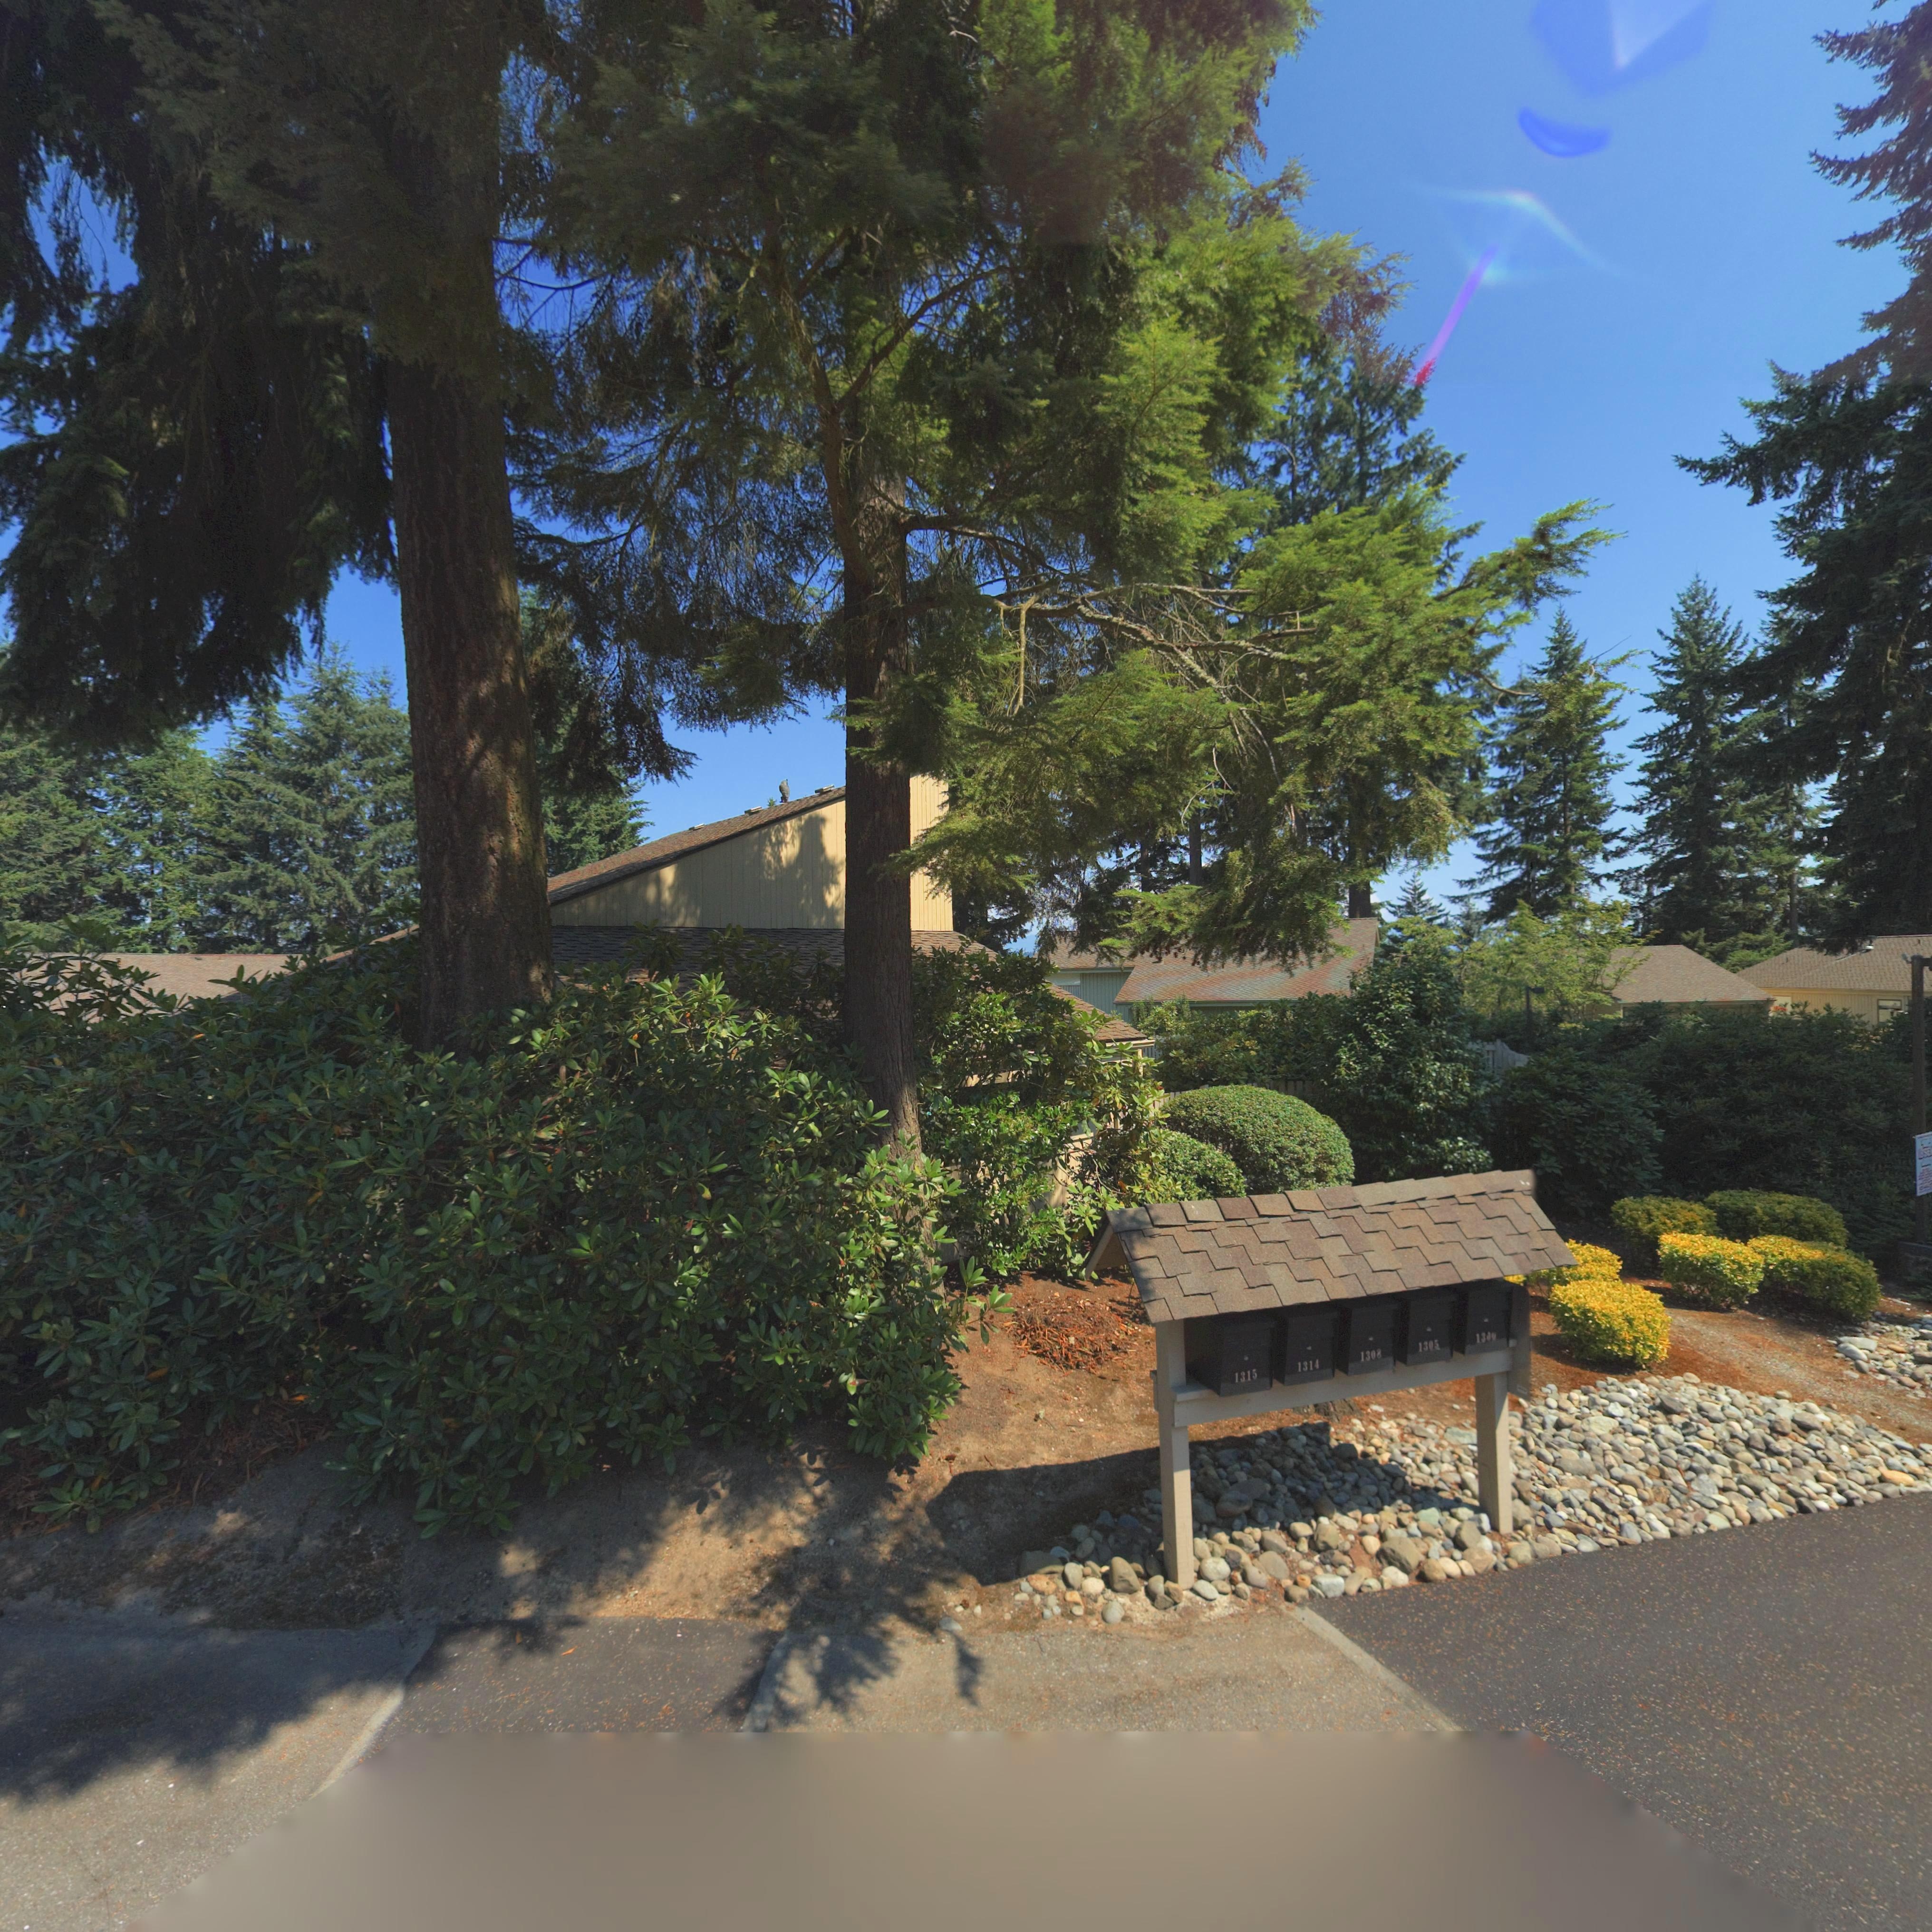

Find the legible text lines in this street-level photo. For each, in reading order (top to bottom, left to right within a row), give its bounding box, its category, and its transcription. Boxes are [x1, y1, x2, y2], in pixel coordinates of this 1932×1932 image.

[1475, 1331, 1497, 1344] StreetNumber: 130*
[1417, 1339, 1440, 1352] StreetNumber: 1305
[1360, 1348, 1382, 1362] StreetNumber: 1308
[1297, 1359, 1319, 1372] StreetNumber: 1314
[1235, 1368, 1257, 1383] StreetNumber: 1315